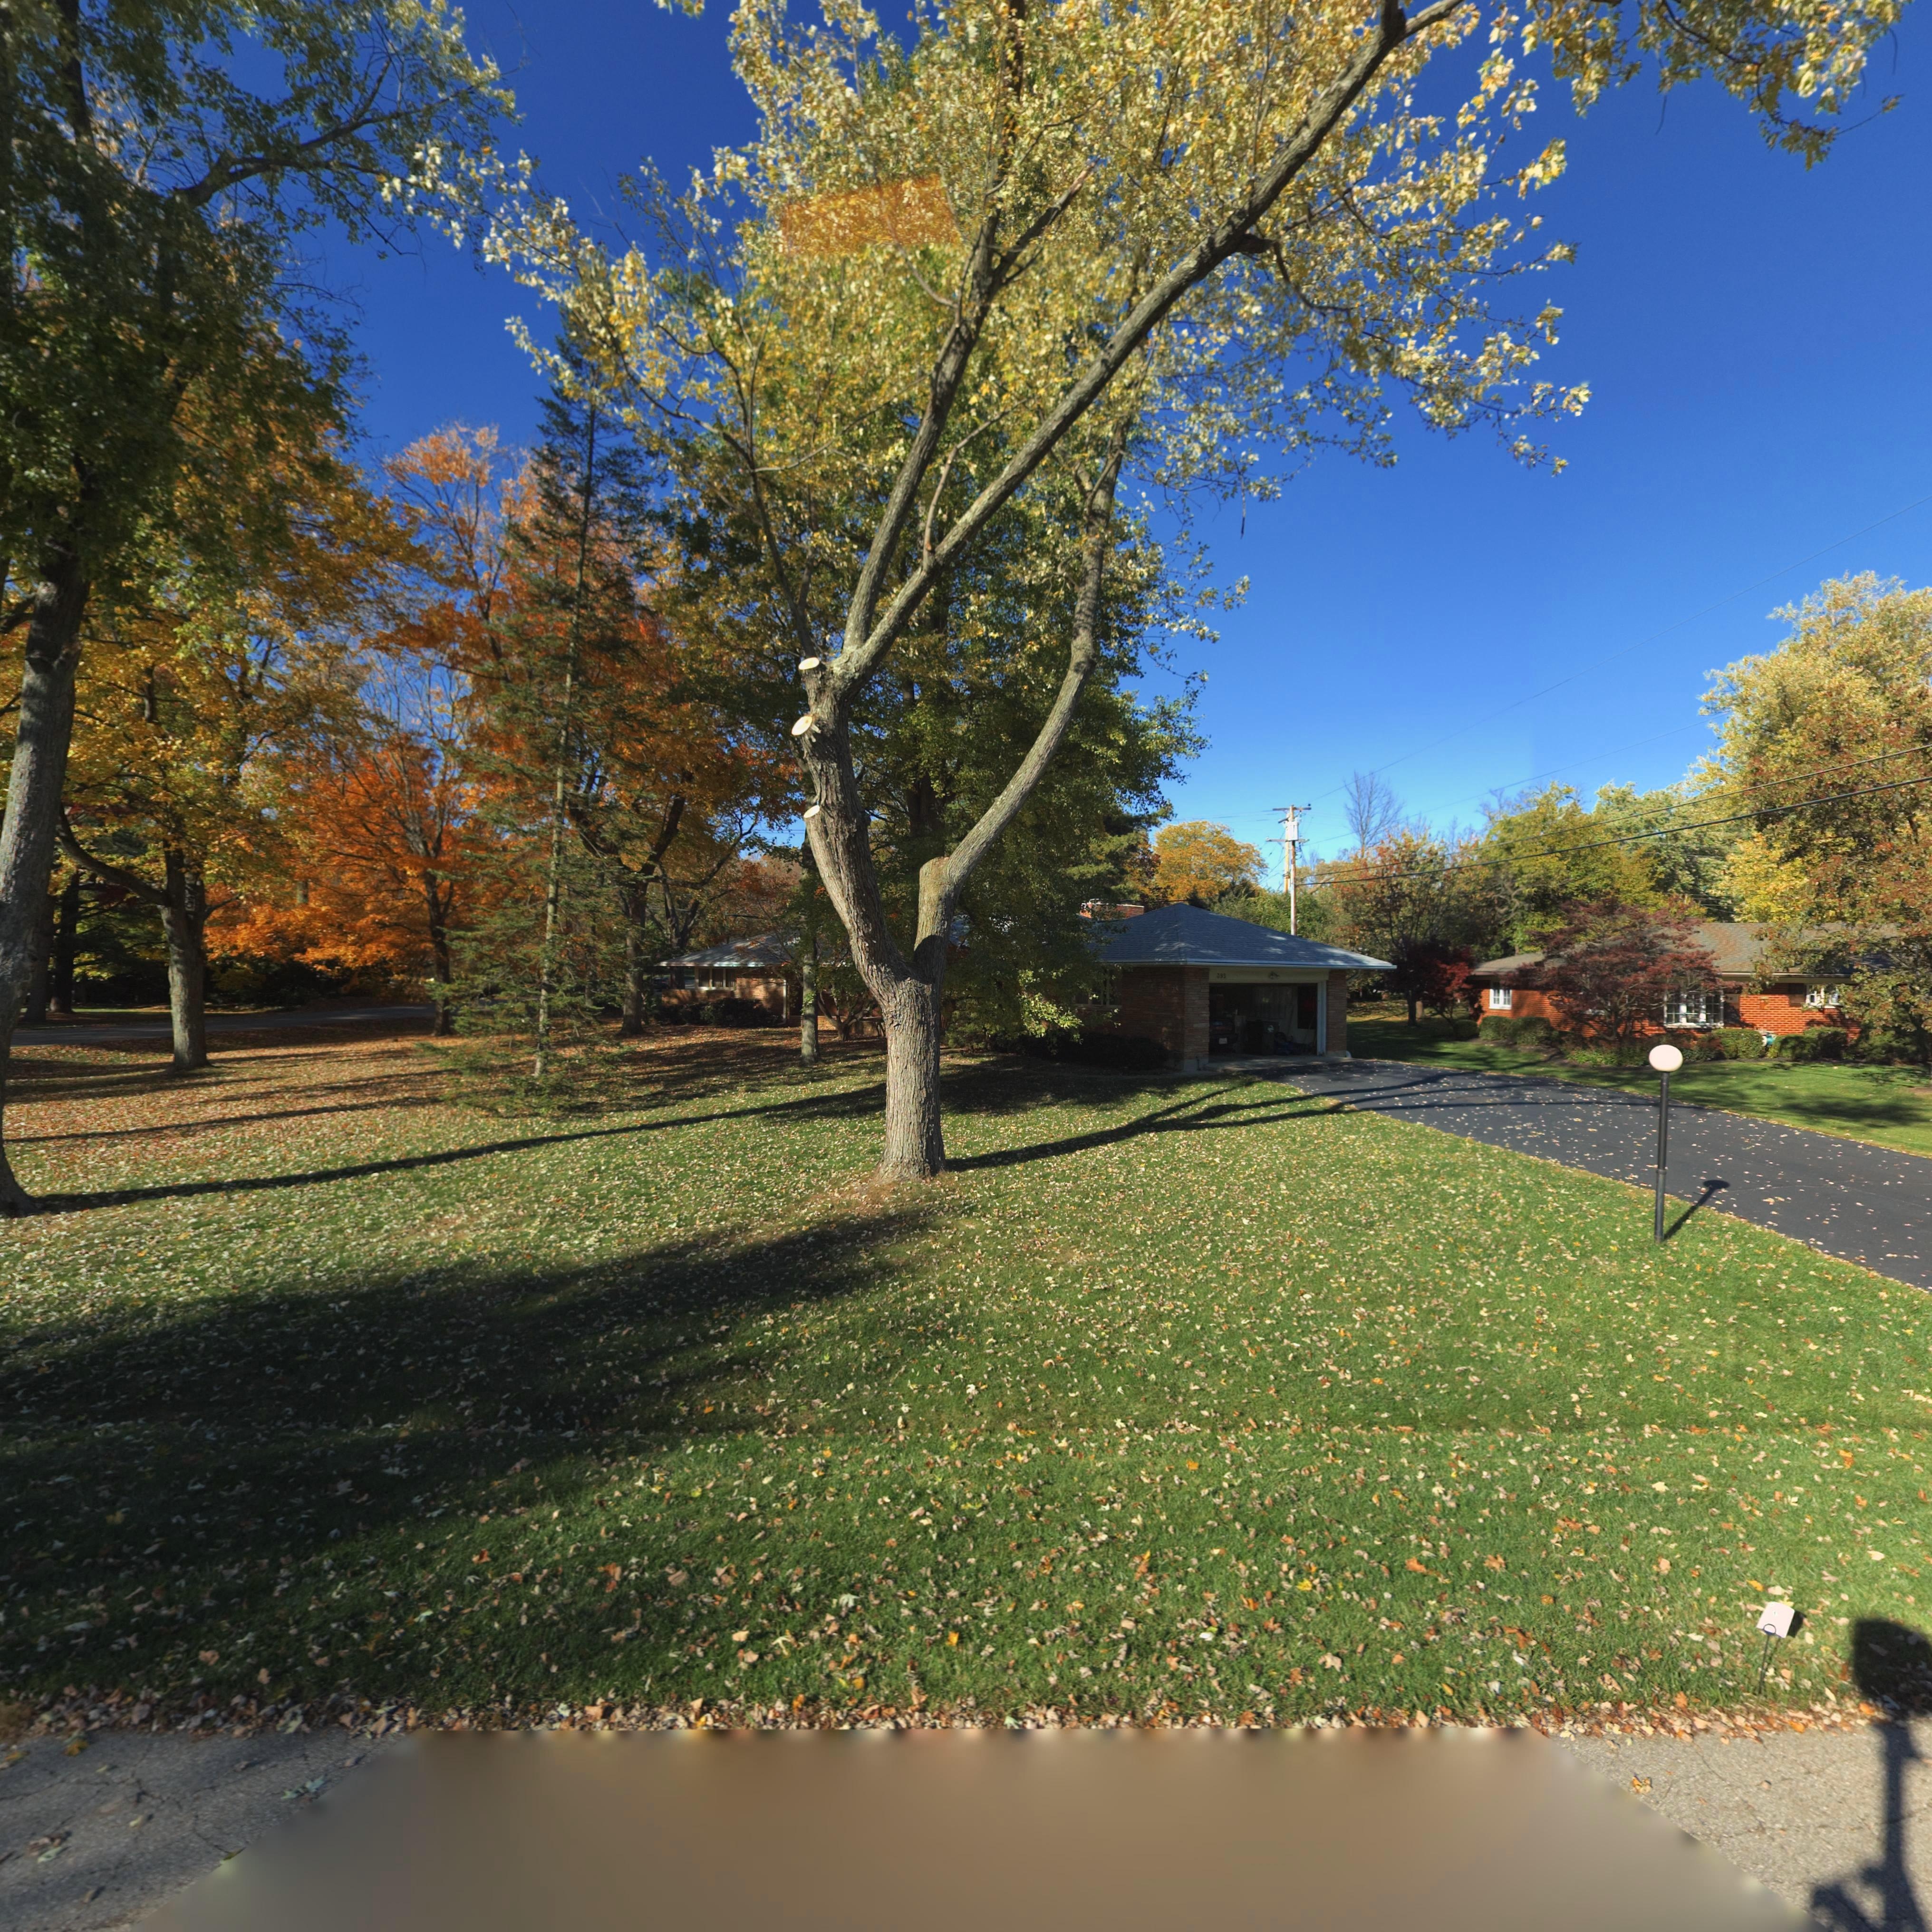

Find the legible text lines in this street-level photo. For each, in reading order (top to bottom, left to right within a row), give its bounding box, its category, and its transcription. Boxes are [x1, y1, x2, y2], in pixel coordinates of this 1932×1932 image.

[1216, 973, 1227, 979] StreetNumber: 395